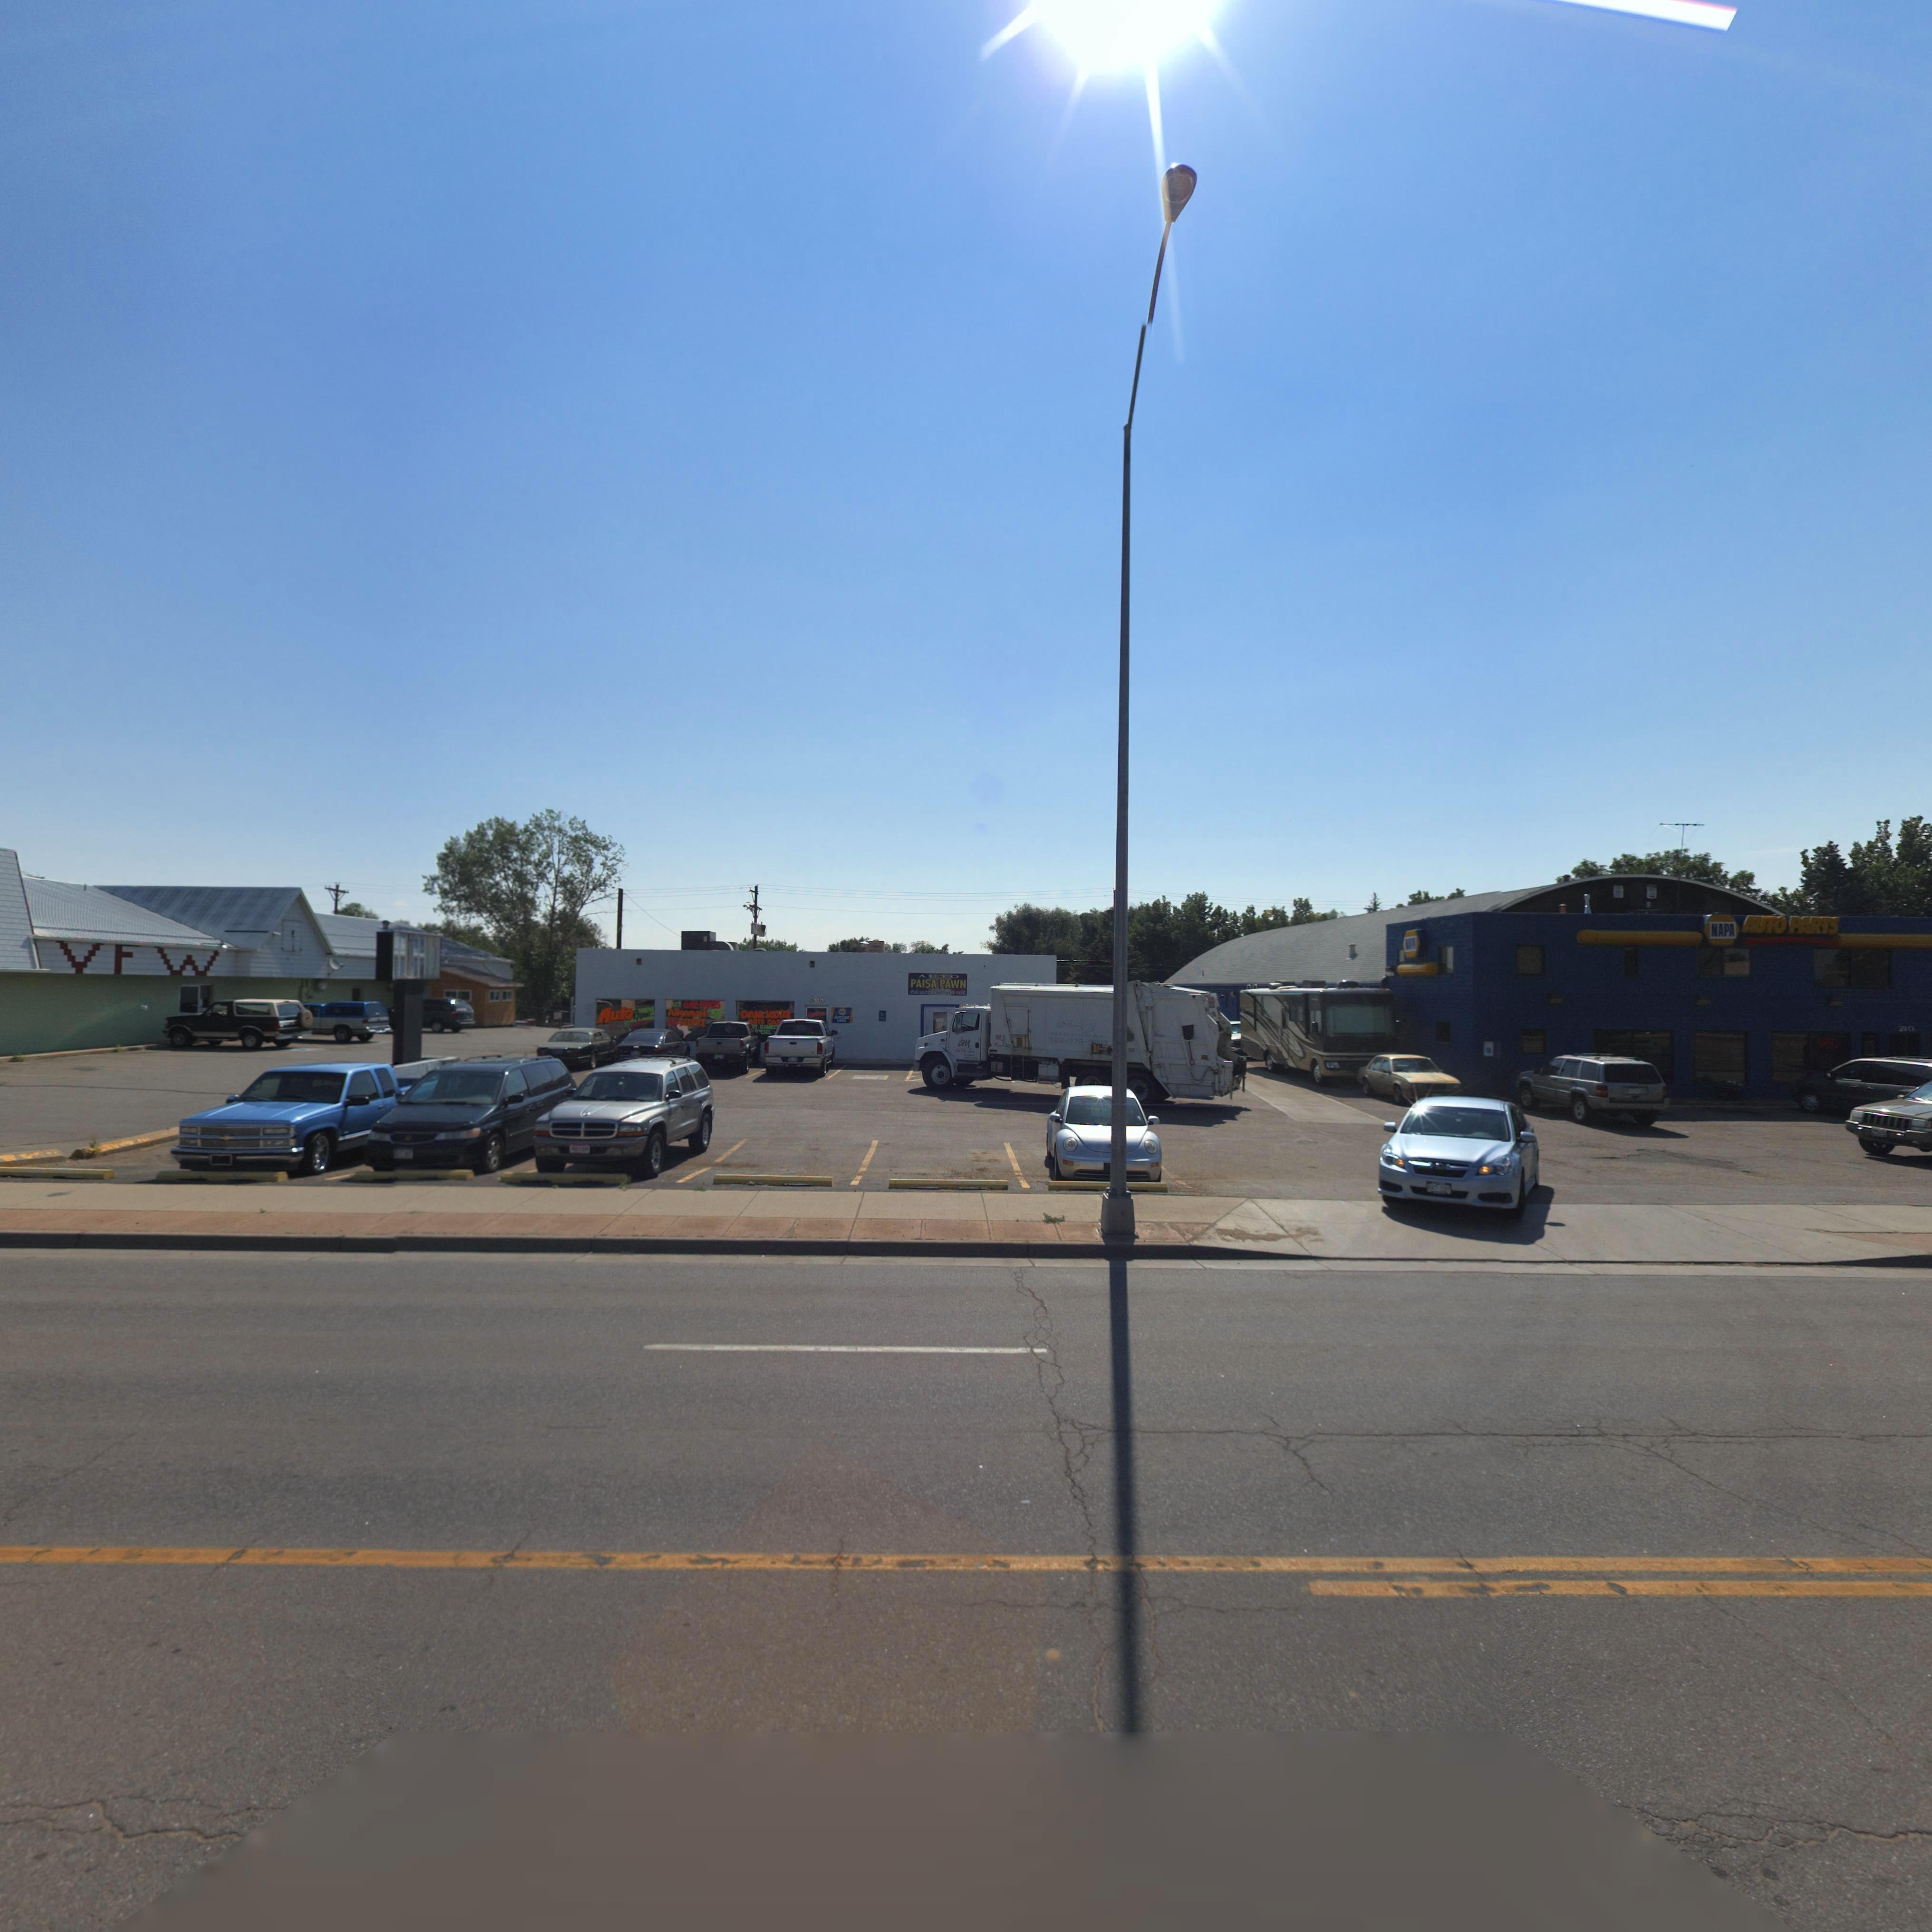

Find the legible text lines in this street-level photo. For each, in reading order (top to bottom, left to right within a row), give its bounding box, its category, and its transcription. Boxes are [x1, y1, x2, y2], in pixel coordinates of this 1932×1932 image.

[1710, 922, 1736, 937] BusinessName: NAPA
[1404, 937, 1416, 950] BusinessName: *APA
[55, 939, 222, 977] BusinessName: VFW
[909, 978, 966, 988] BusinessName: PAISA PAWN